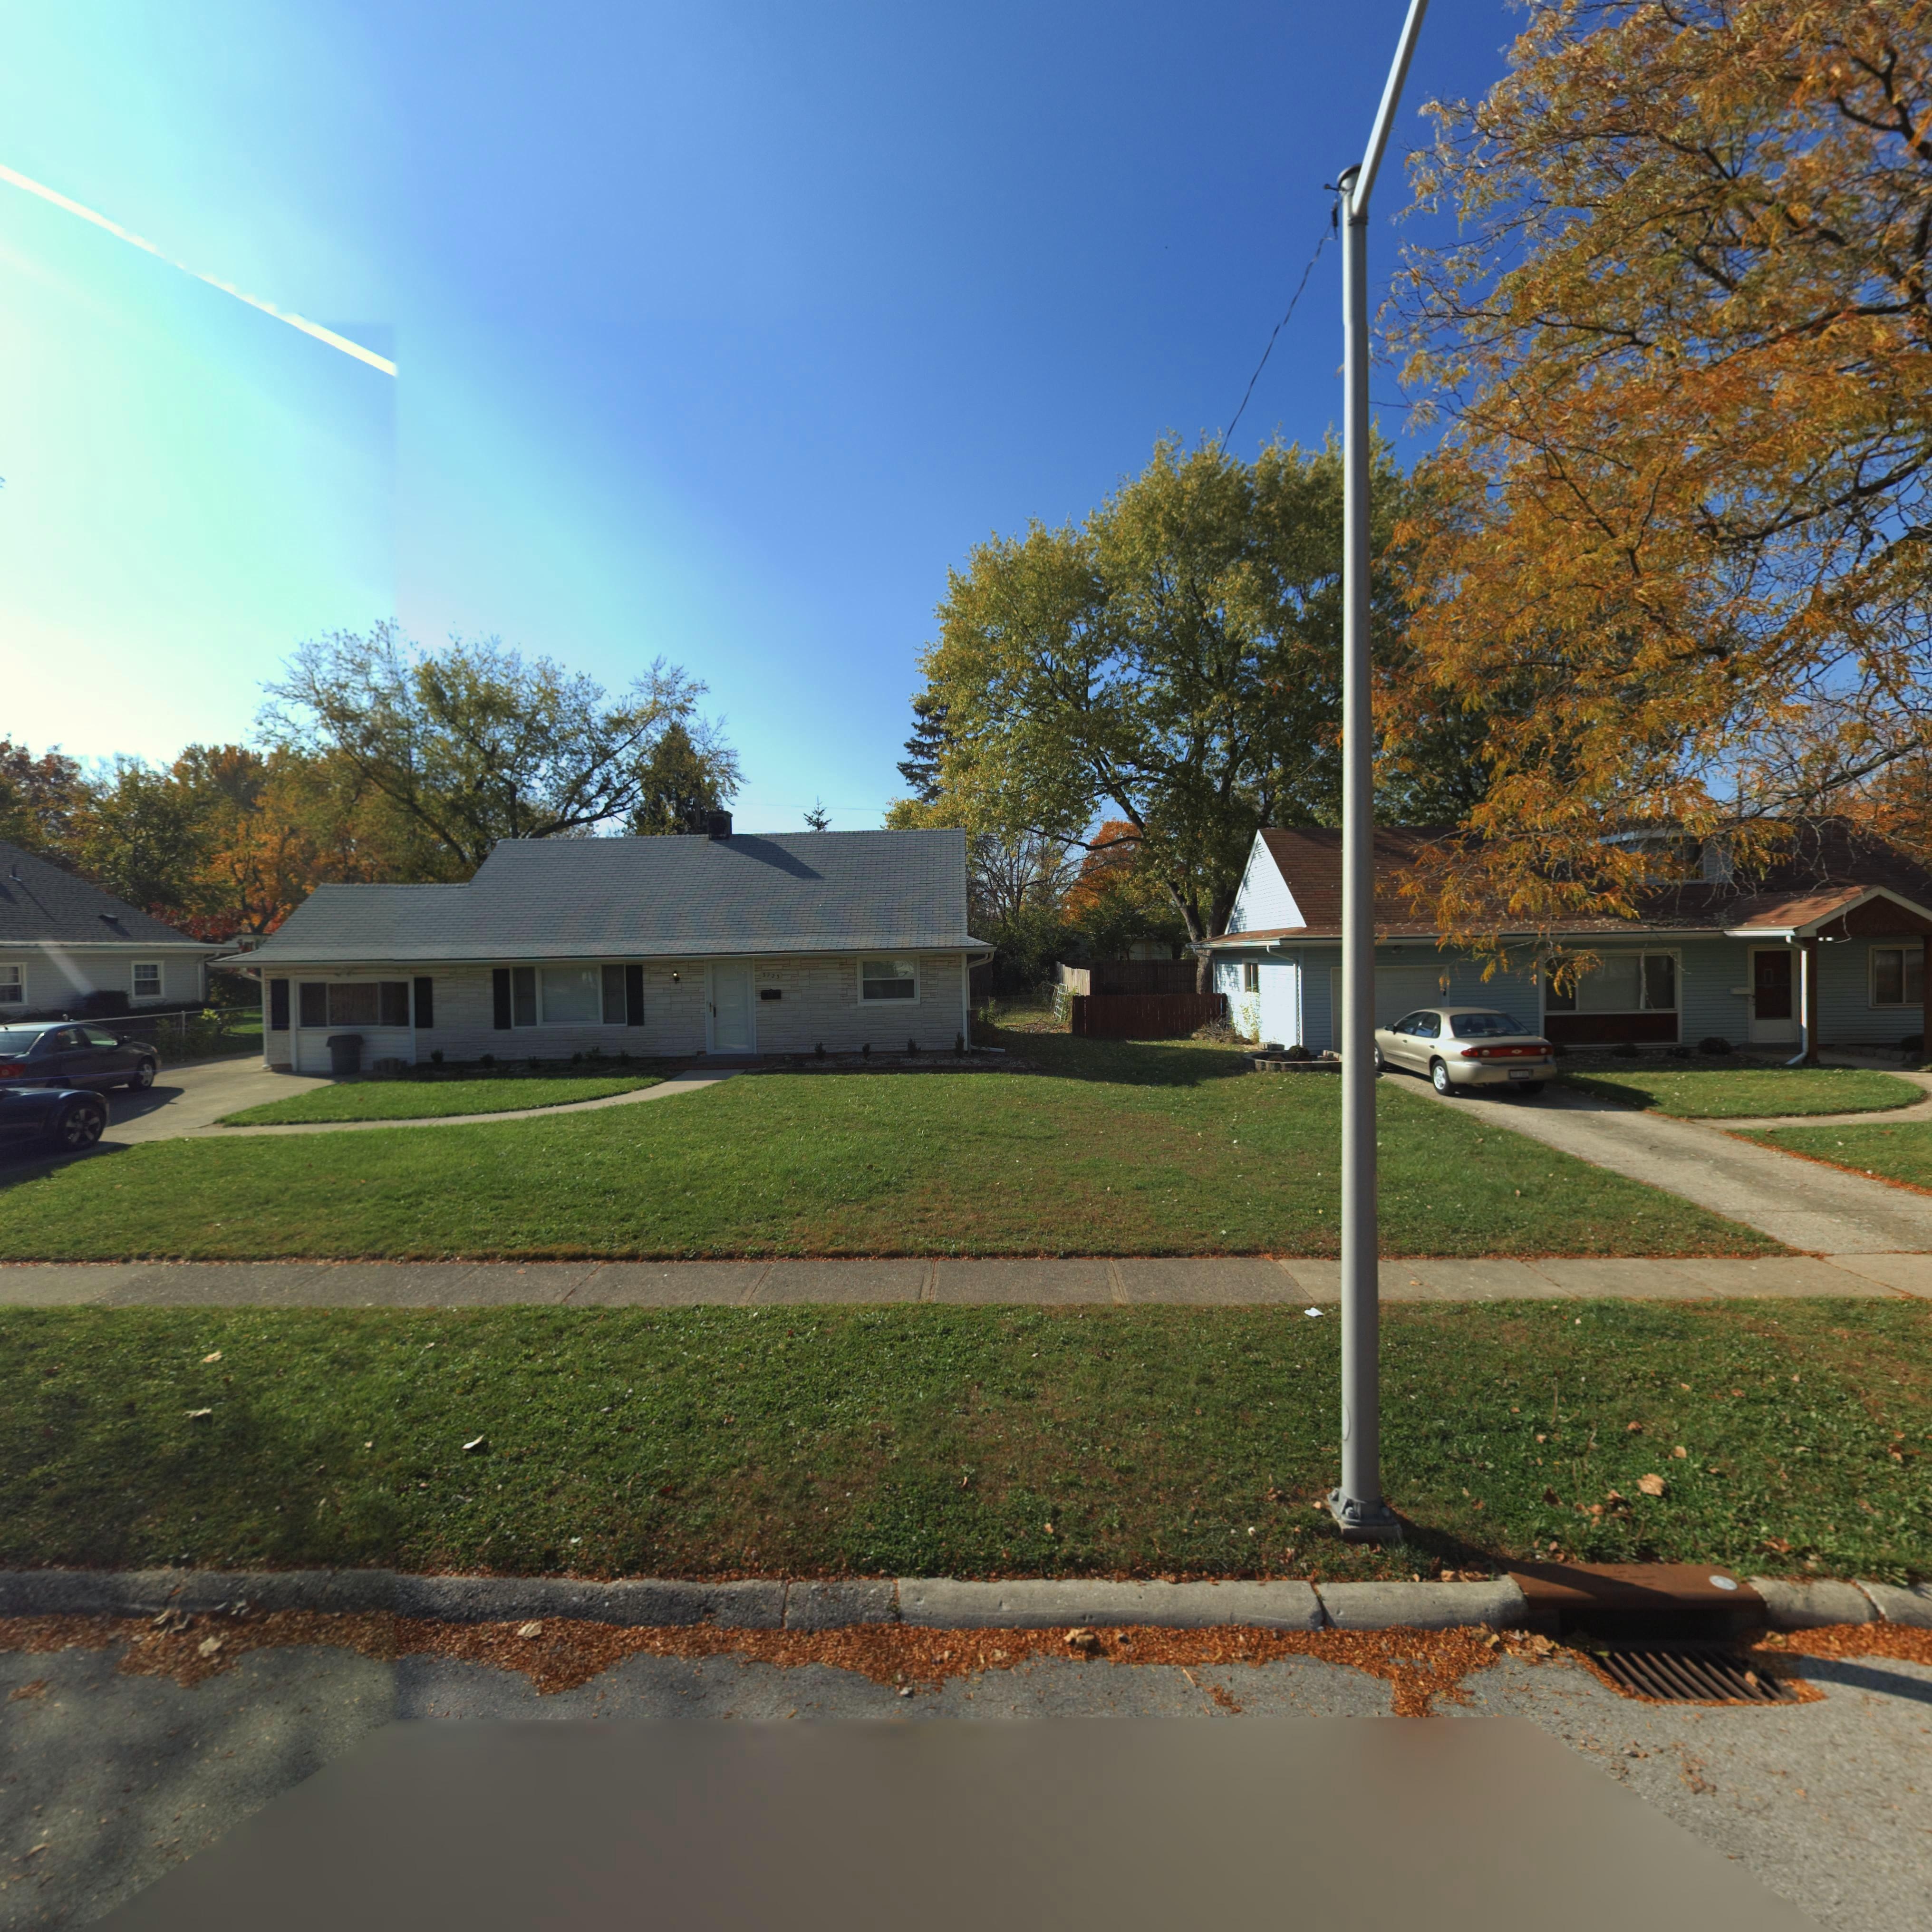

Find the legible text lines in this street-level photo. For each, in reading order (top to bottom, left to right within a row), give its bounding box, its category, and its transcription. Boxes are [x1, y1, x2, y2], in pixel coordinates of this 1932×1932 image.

[762, 972, 780, 979] StreetNumber: 372*